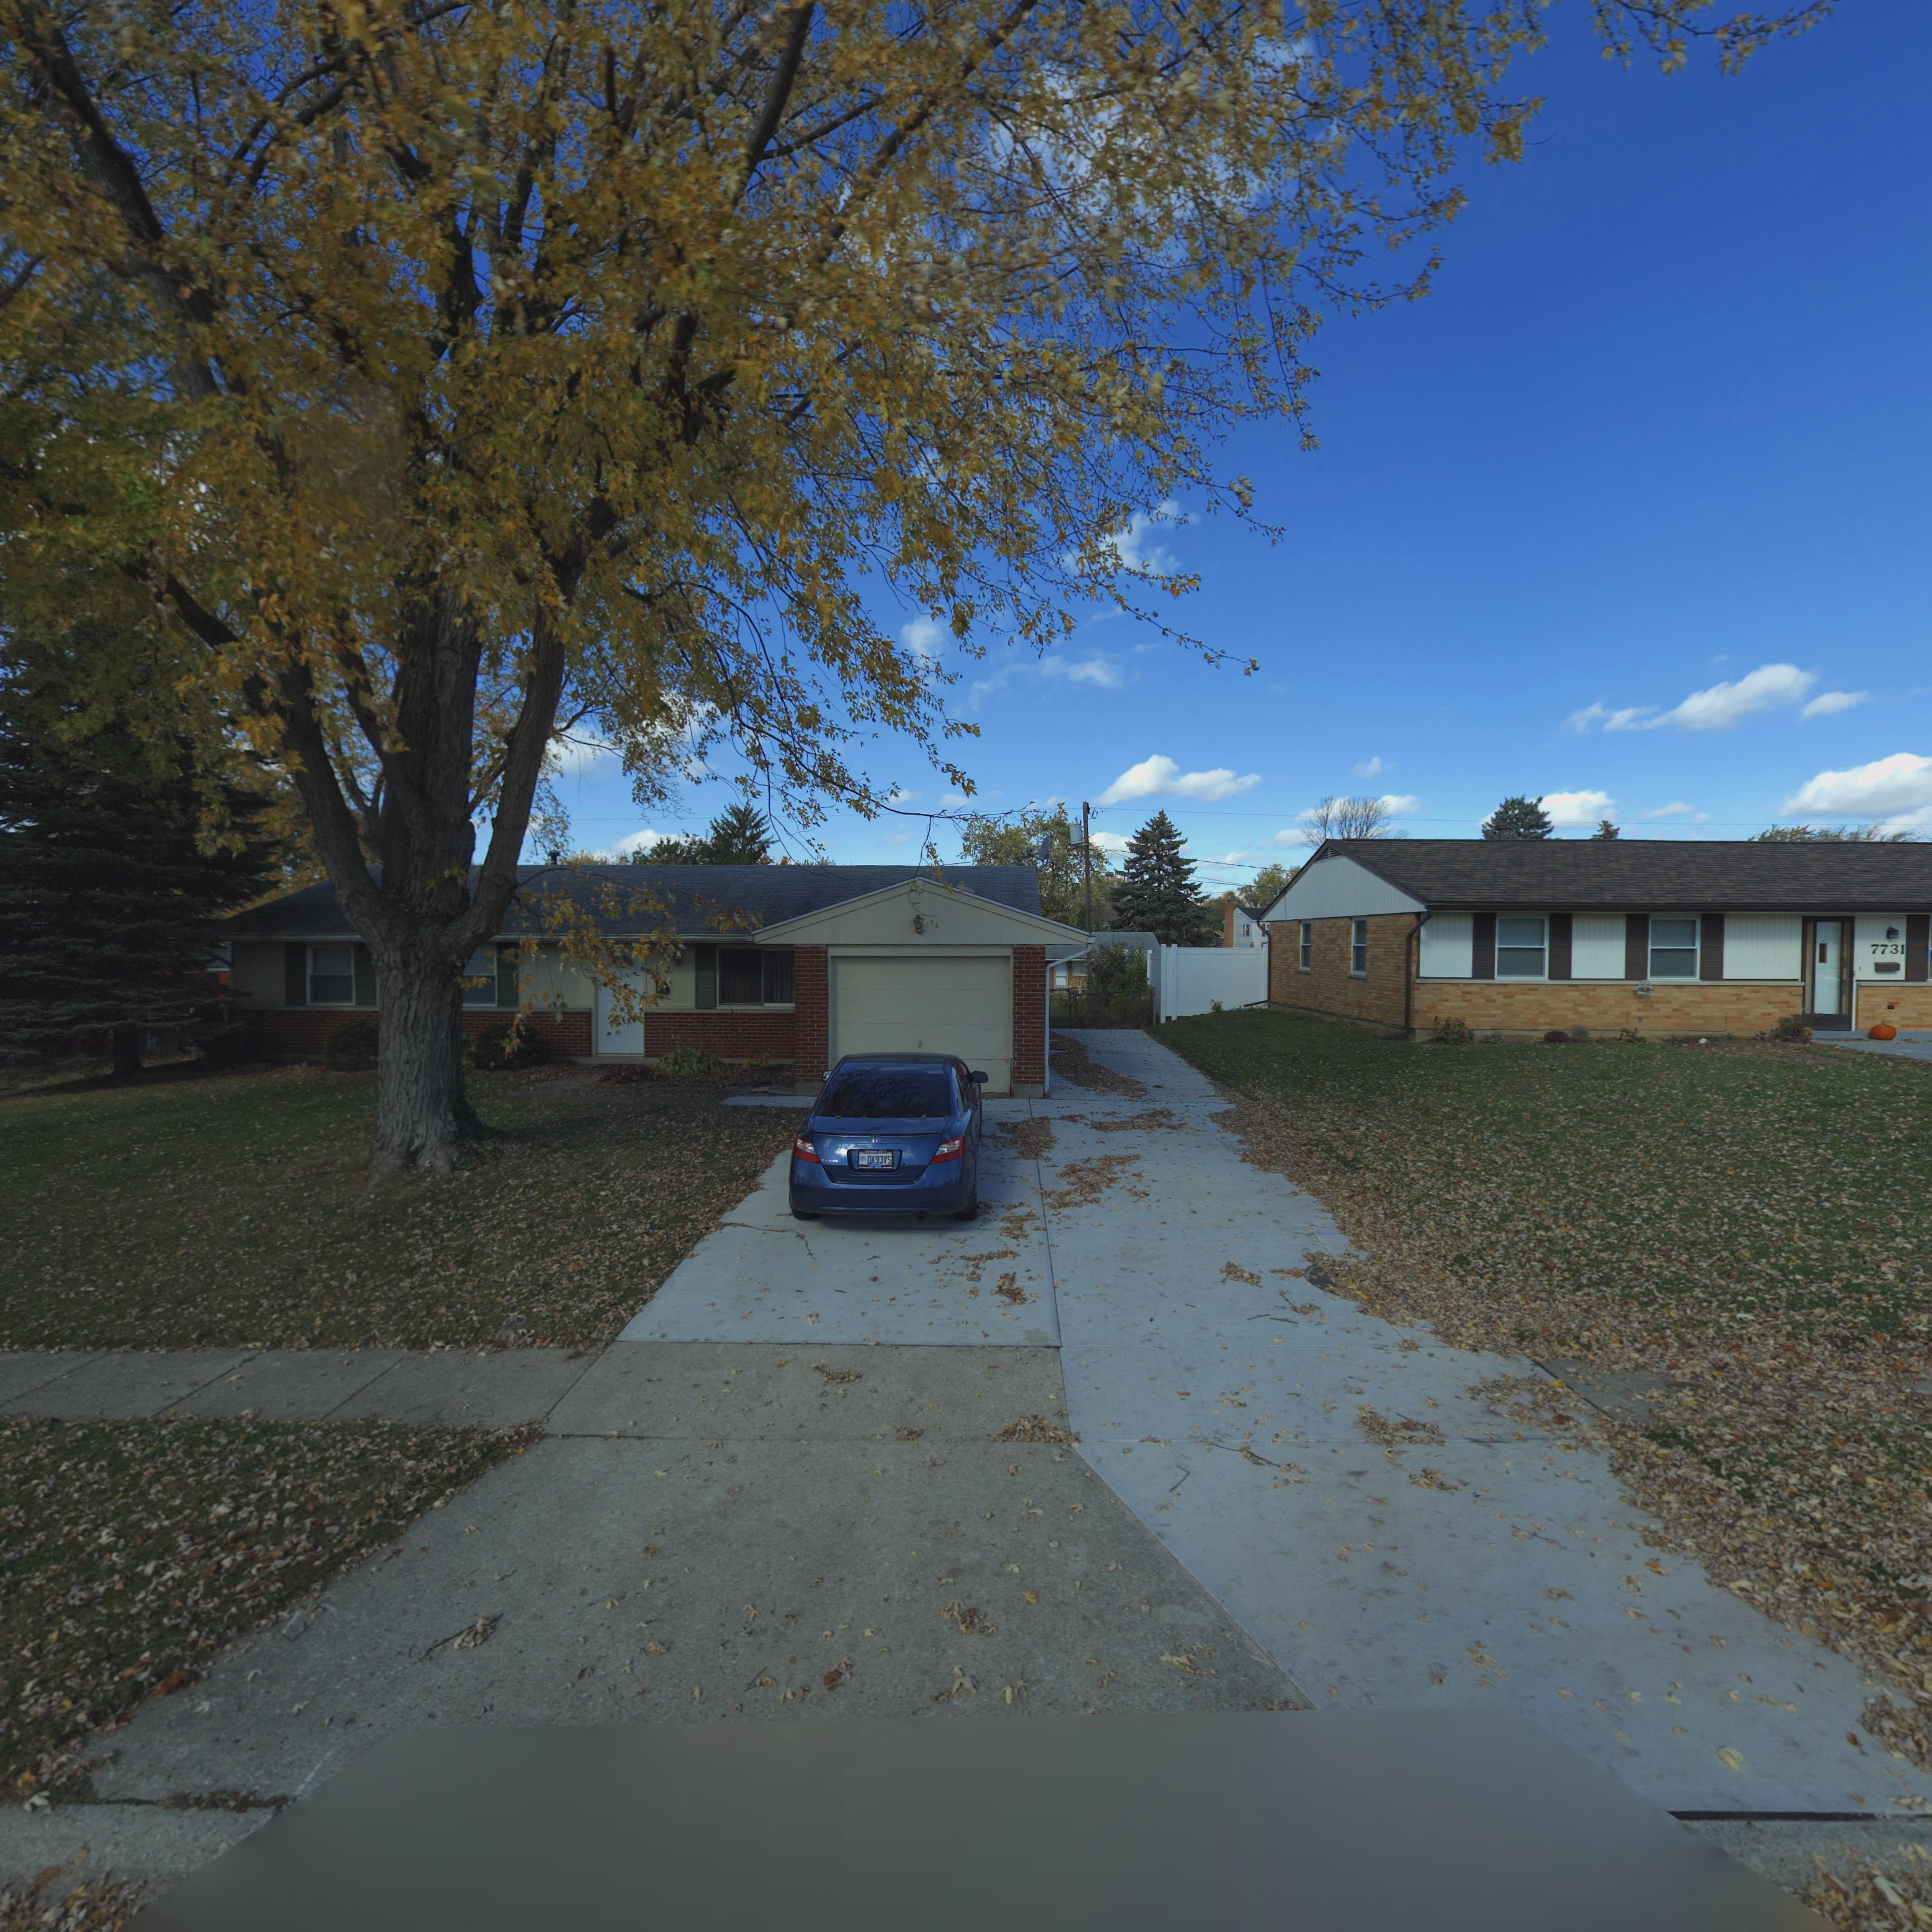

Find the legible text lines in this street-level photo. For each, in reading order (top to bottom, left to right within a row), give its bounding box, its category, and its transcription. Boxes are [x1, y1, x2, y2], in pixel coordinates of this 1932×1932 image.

[929, 920, 939, 928] StreetNumber: *5
[1870, 944, 1904, 955] StreetNumber: 7731